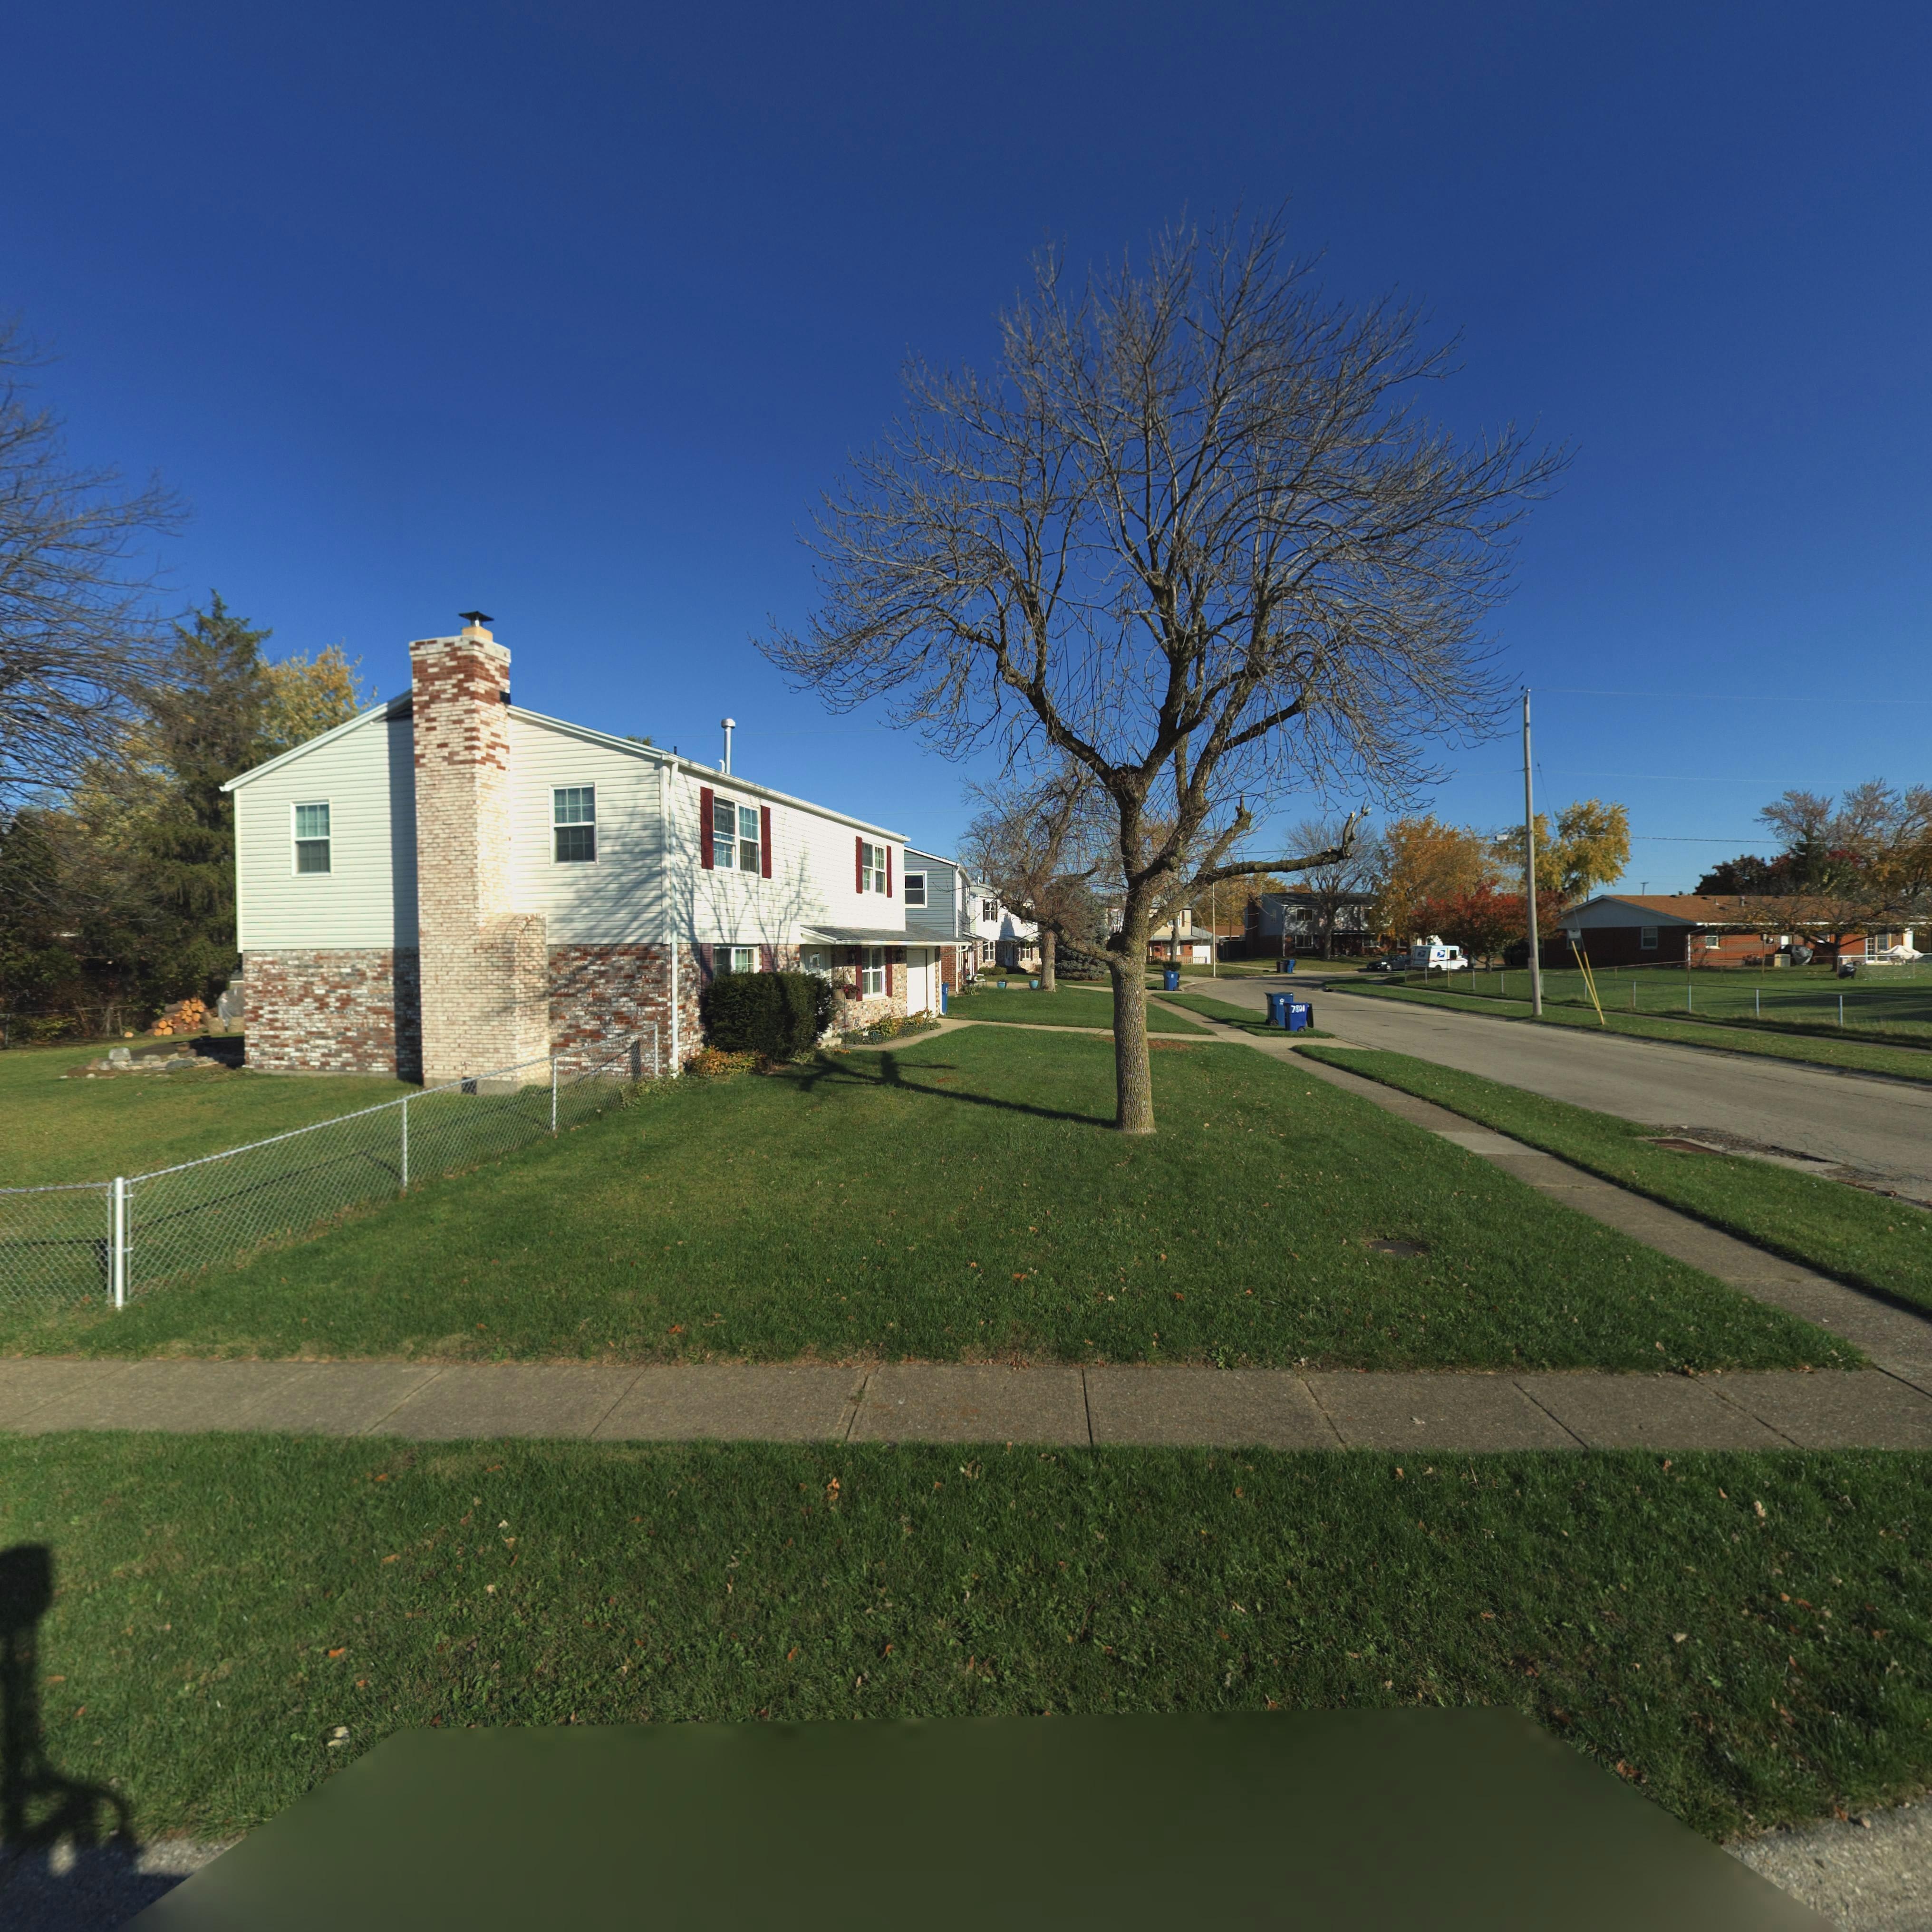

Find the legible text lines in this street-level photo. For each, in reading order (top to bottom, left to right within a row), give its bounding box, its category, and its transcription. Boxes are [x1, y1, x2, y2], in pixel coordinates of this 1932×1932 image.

[845, 971, 849, 979] StreetNumber: 7
[1290, 1005, 1305, 1014] StreetNumber: 7801